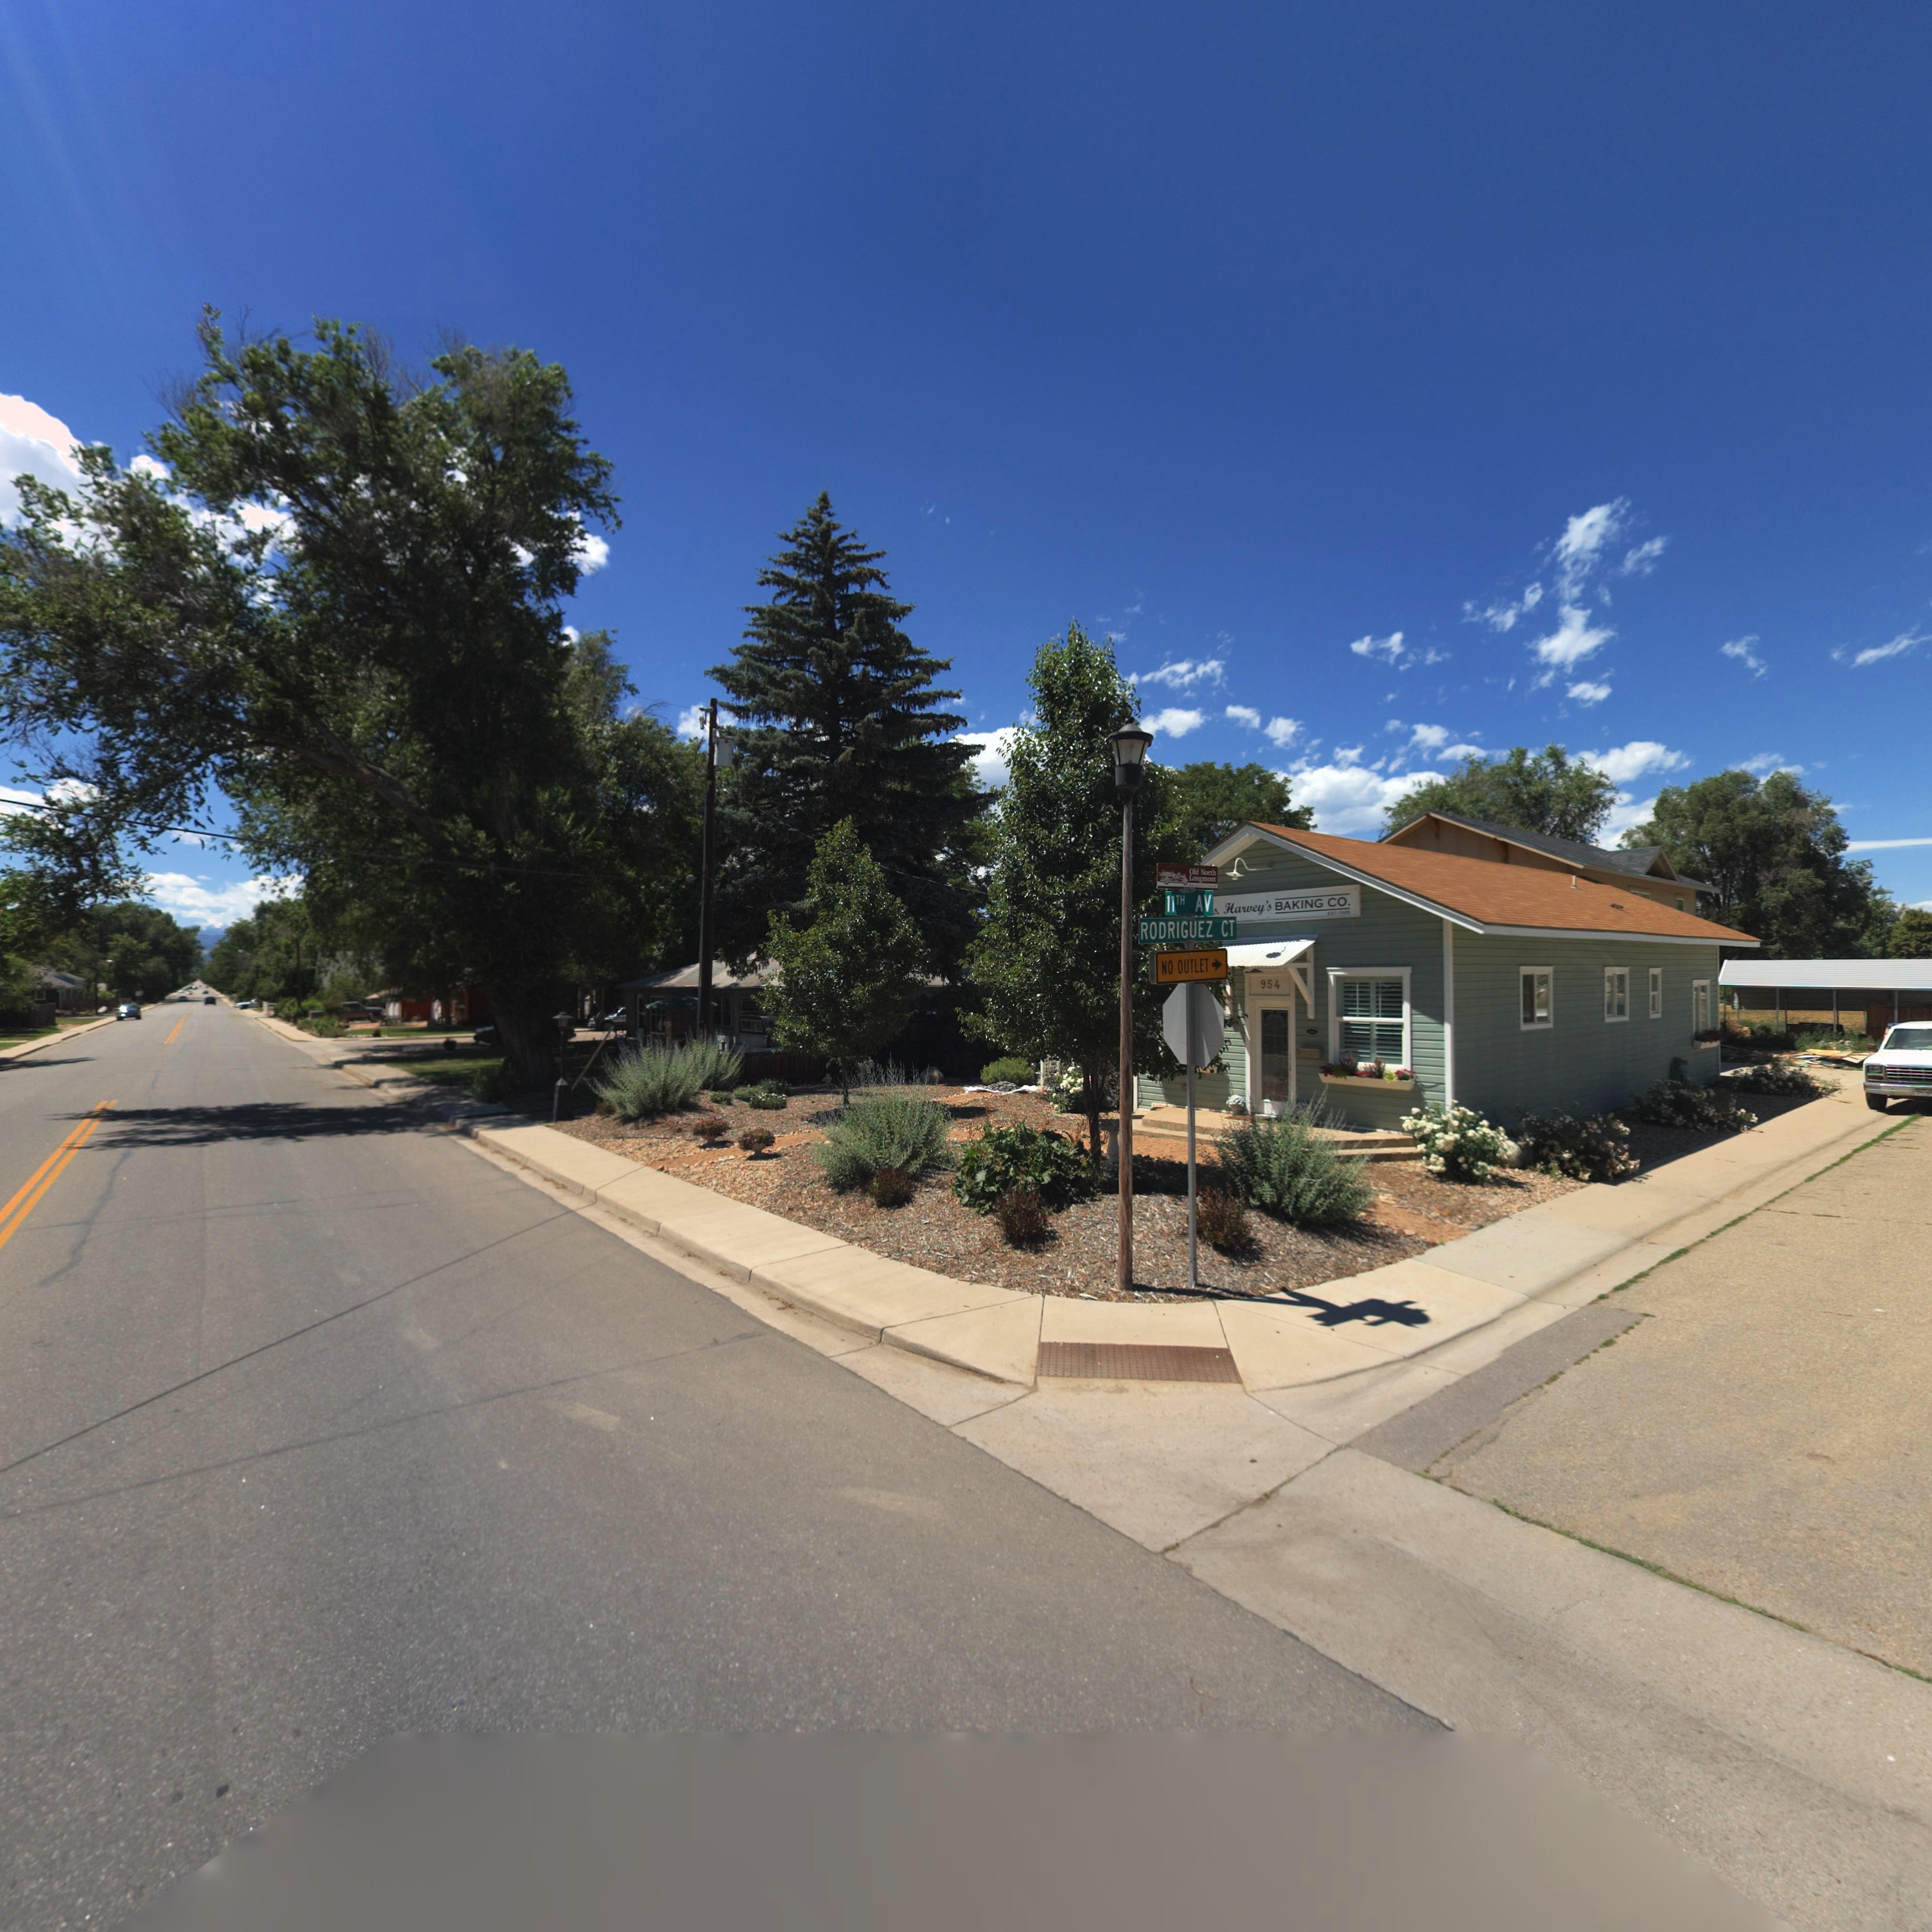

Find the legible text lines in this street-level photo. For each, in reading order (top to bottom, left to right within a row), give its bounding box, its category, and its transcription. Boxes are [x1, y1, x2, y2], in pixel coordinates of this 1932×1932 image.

[1166, 894, 1211, 912] StreetName: 11TH AV
[1223, 897, 1351, 916] BusinessName: Harvey's BAKING CO.
[1140, 920, 1235, 939] StreetName: RODRIGUEZ CT
[1260, 979, 1280, 989] StreetNumber: 954